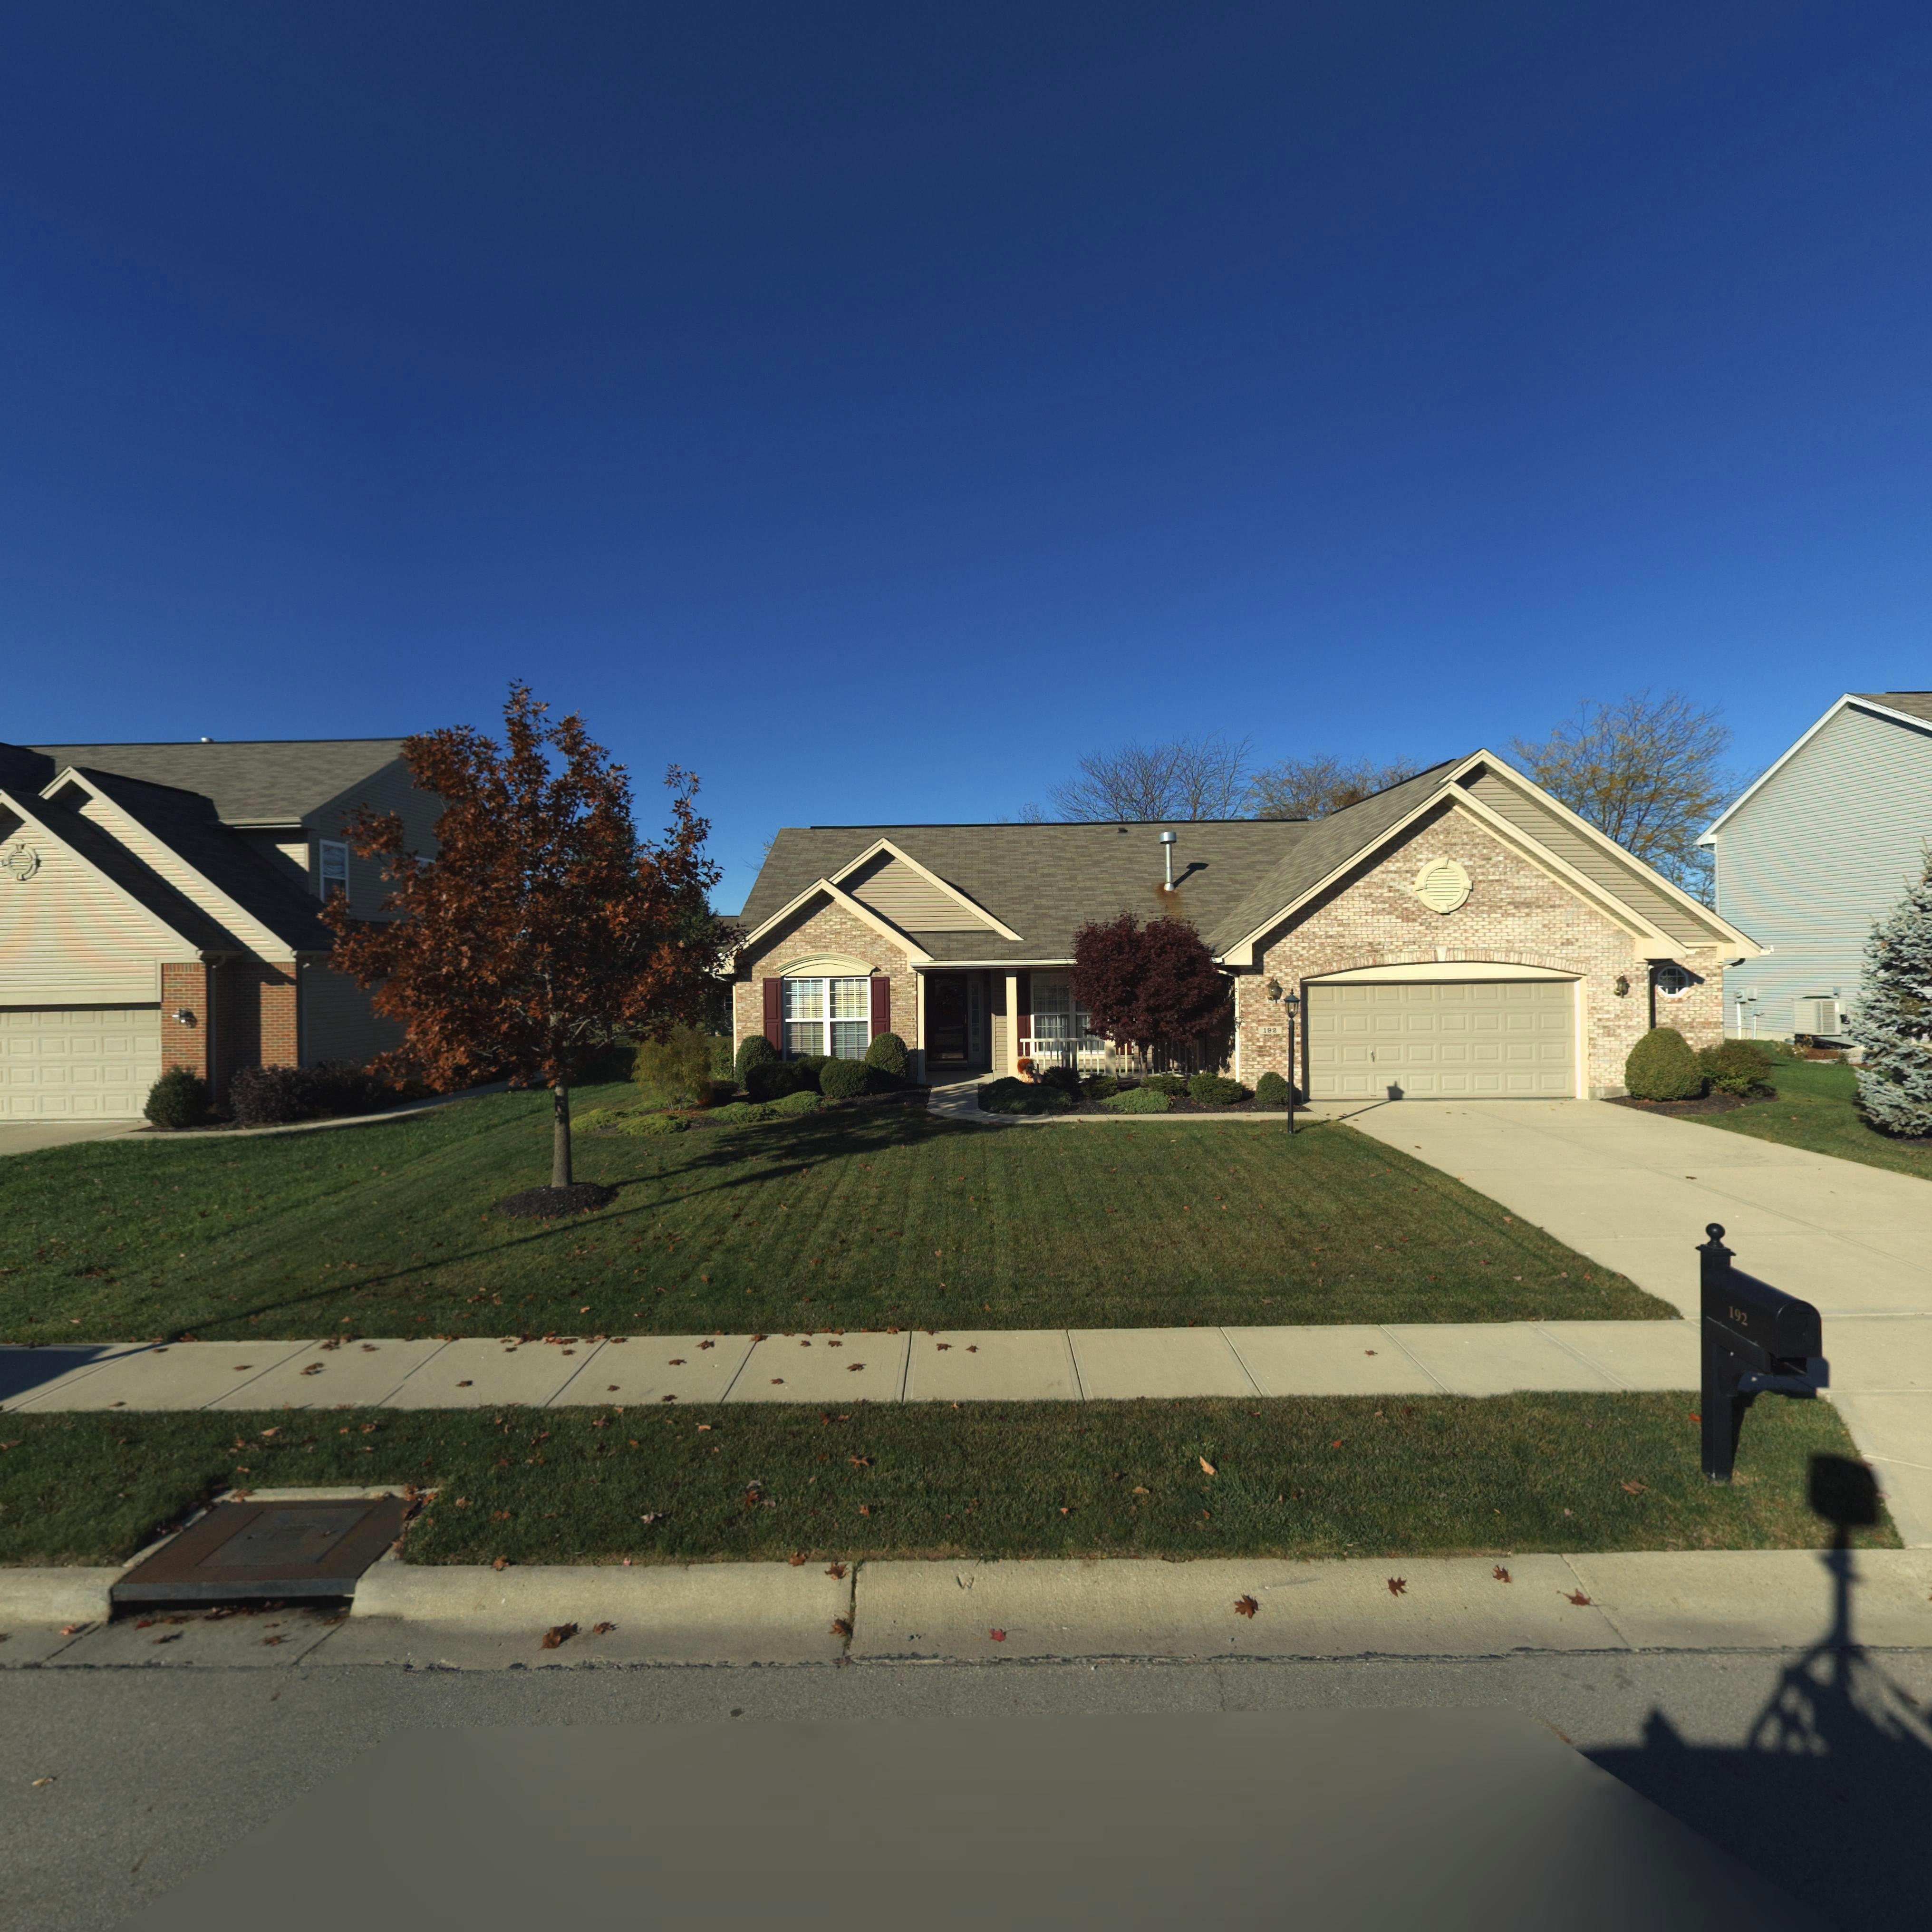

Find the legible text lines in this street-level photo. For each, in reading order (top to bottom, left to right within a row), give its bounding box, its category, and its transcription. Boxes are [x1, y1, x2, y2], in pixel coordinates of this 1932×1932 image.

[1262, 1026, 1278, 1034] StreetNumber: 1*2
[1728, 1304, 1748, 1328] StreetNumber: 192